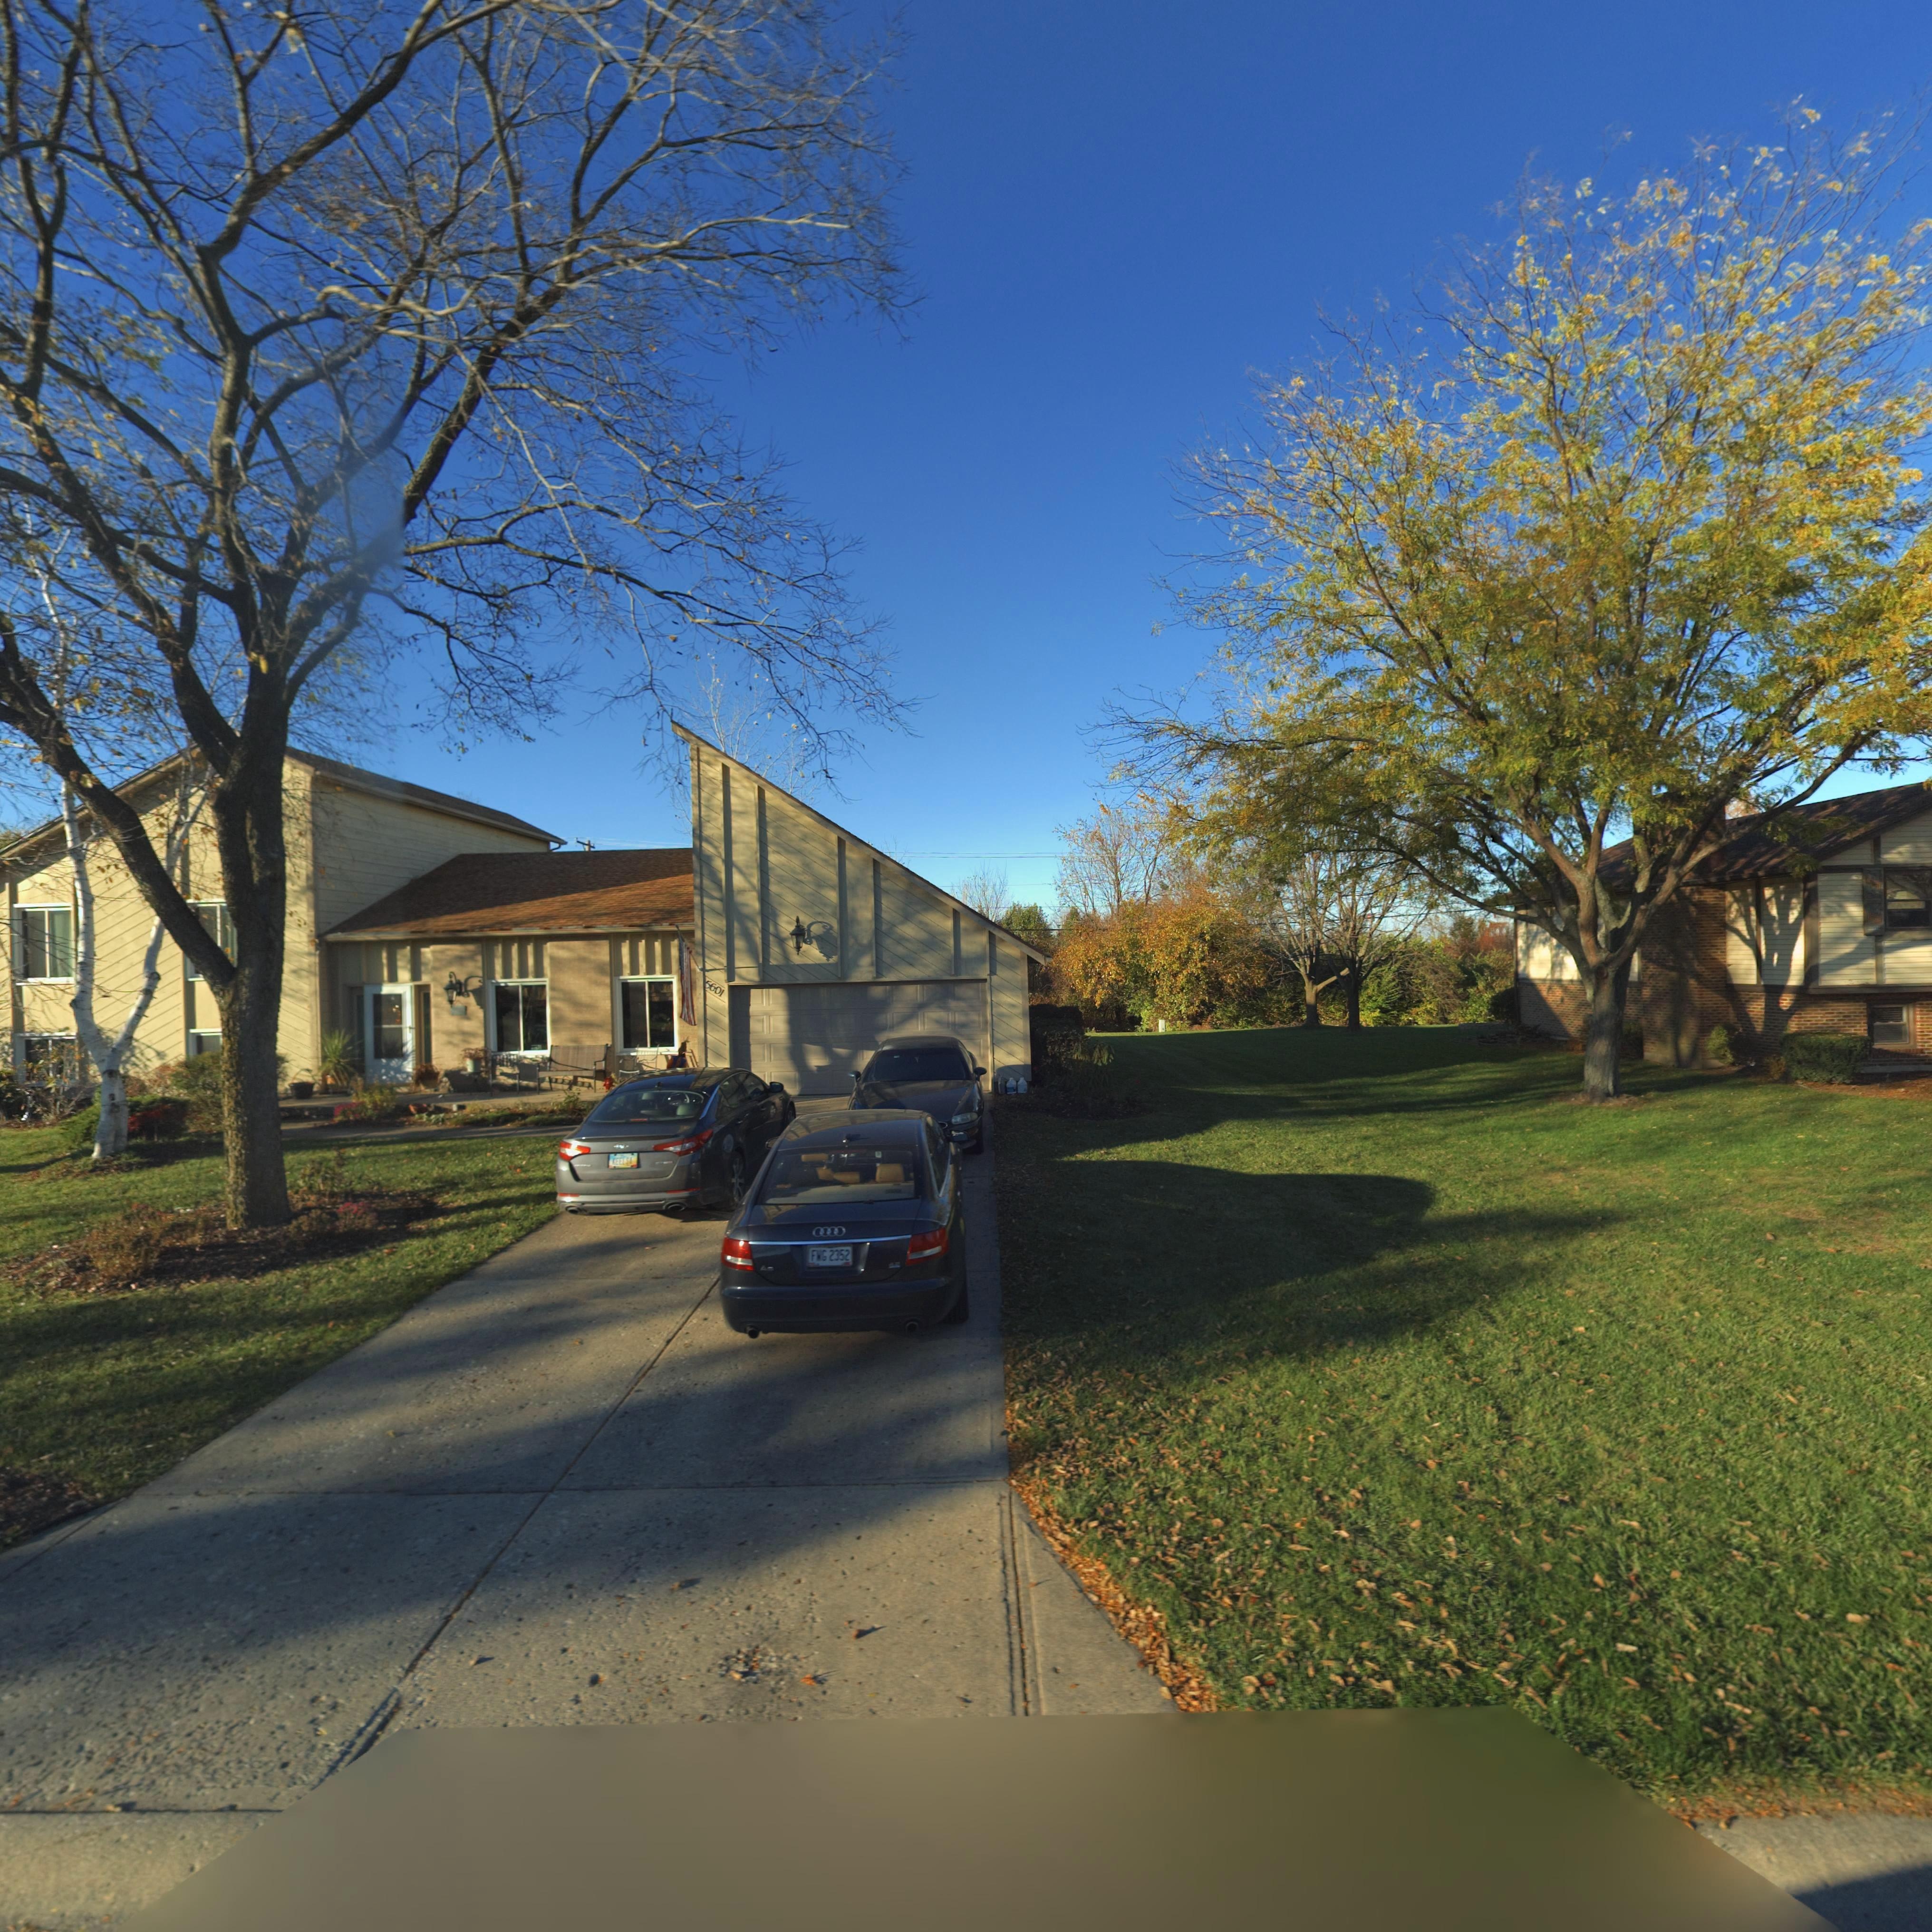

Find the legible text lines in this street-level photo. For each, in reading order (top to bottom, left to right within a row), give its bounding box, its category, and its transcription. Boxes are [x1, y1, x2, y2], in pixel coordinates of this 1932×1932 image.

[703, 979, 726, 998] StreetNumber: 5601